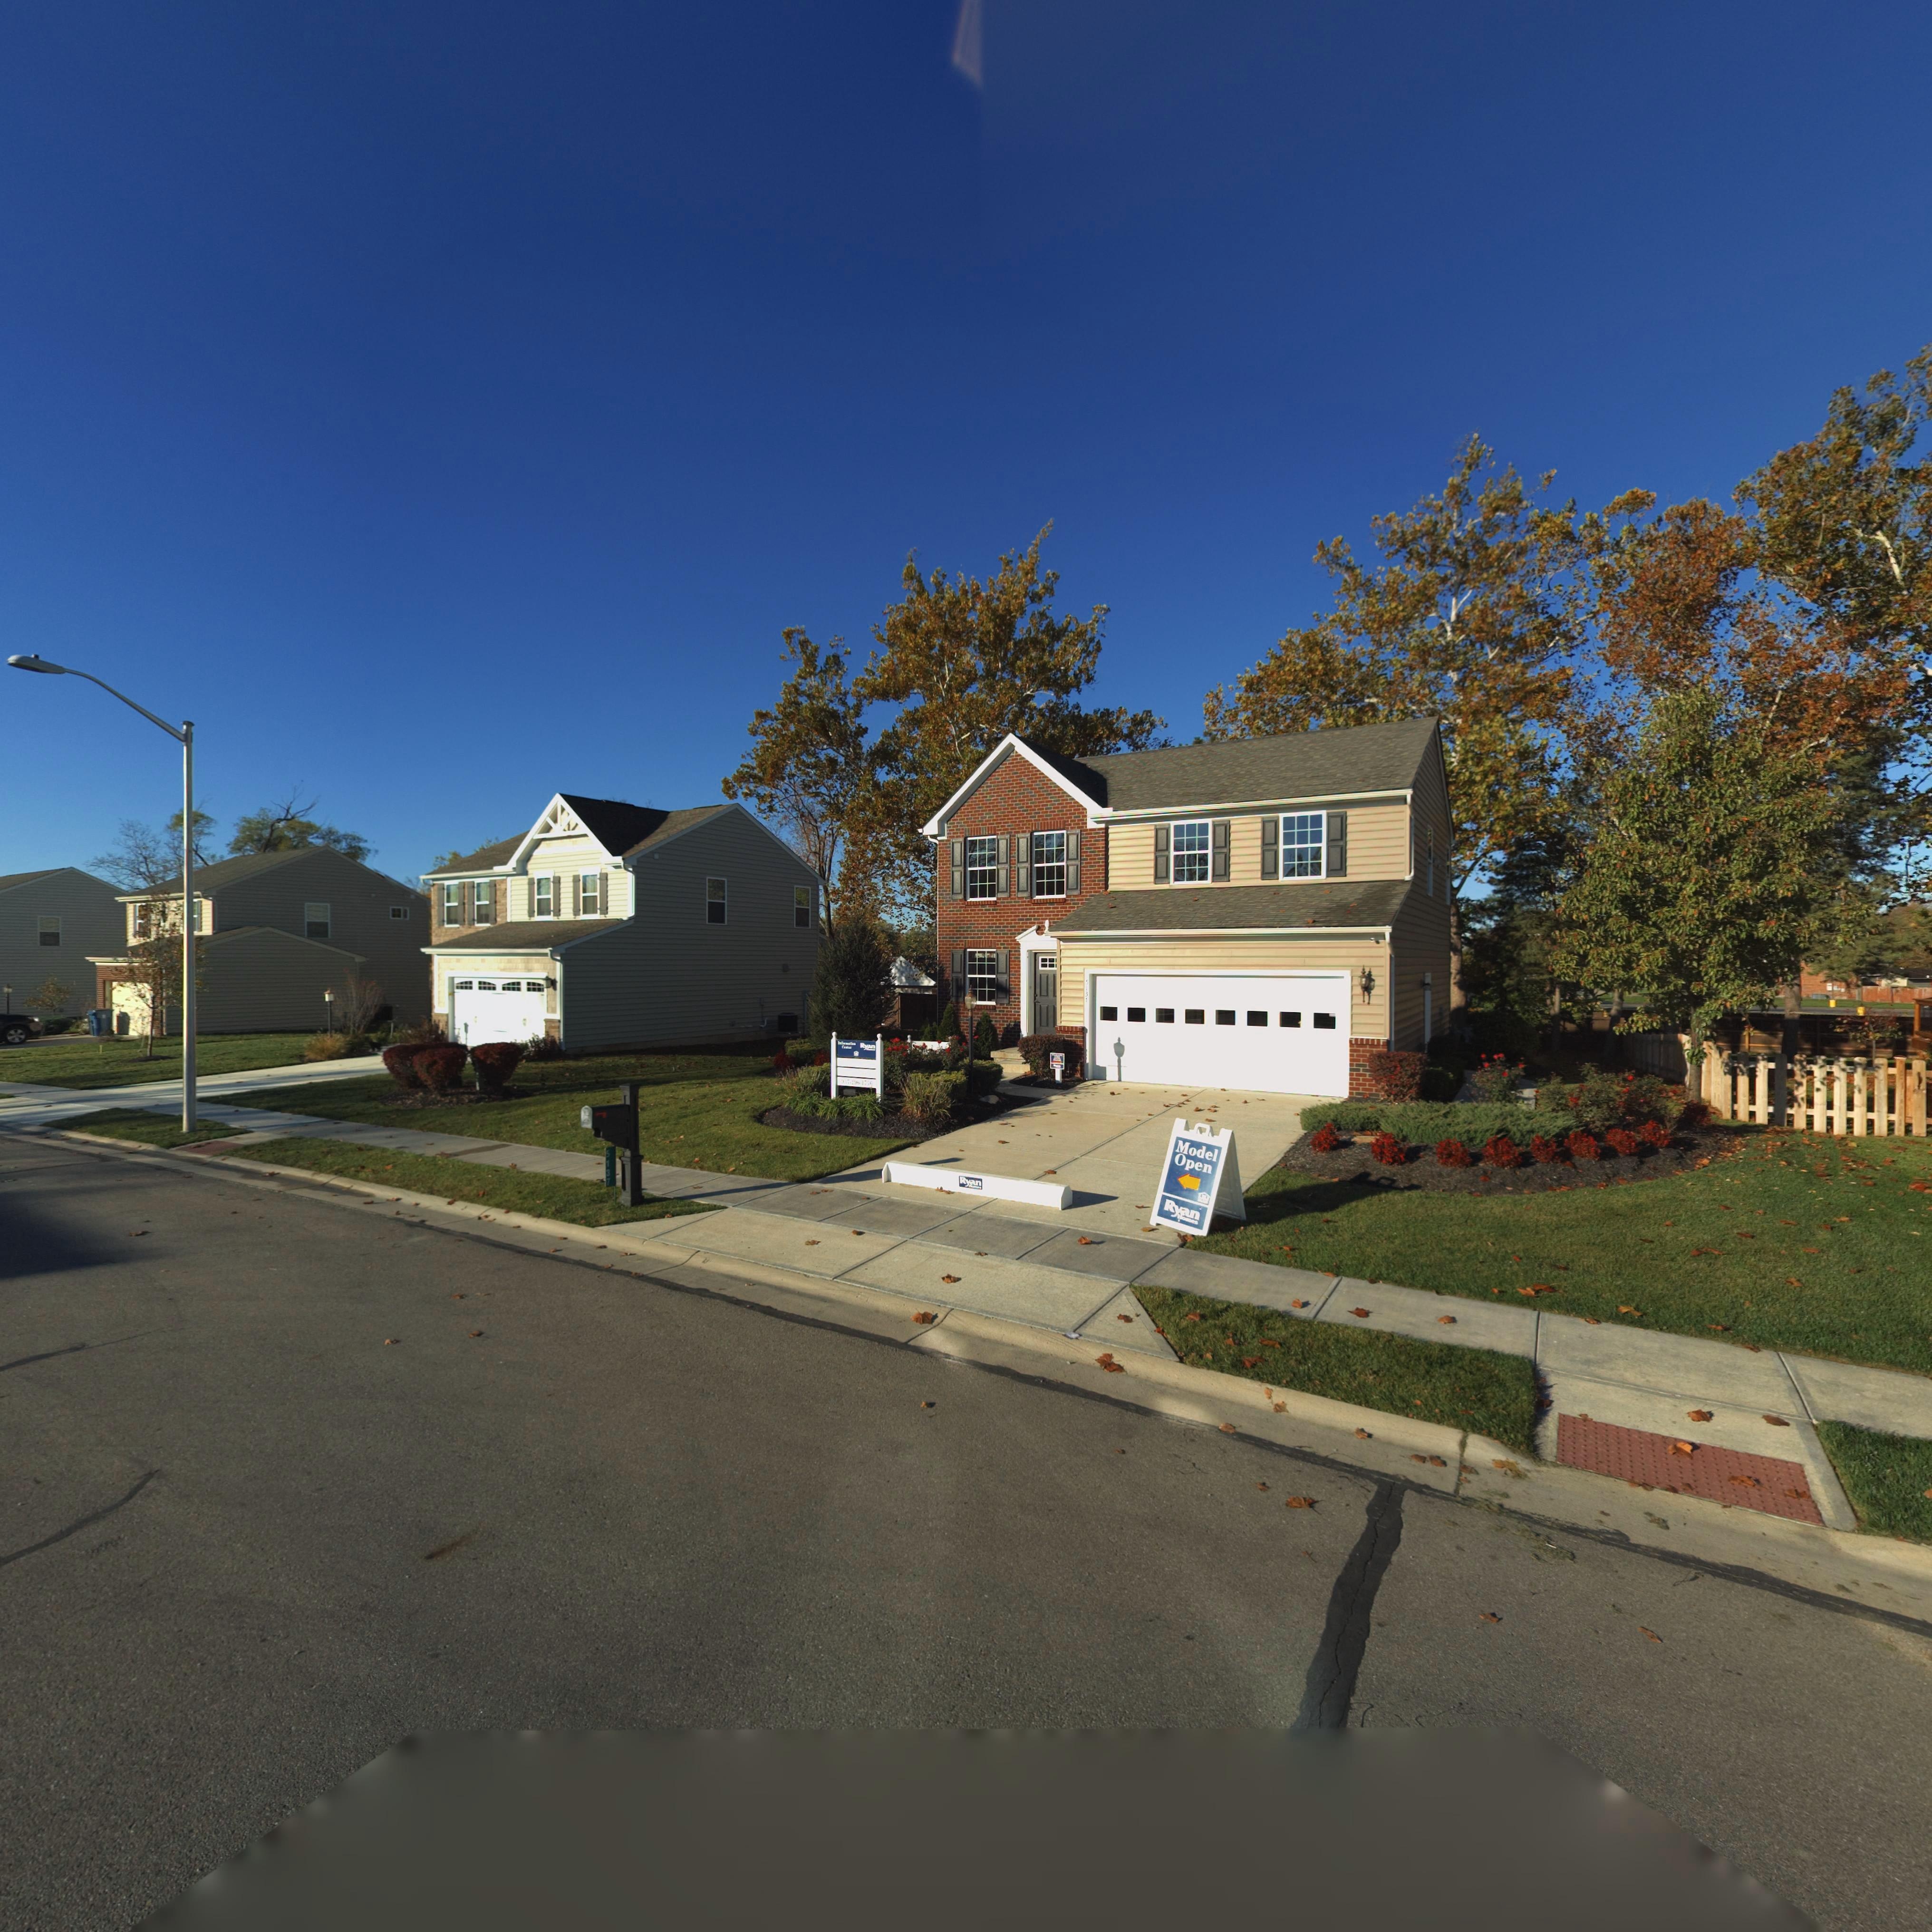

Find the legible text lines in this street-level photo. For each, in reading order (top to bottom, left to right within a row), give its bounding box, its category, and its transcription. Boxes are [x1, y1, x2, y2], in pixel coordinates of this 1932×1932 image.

[1084, 978, 1089, 1003] StreetNumber: **3*
[605, 1149, 612, 1187] StreetNumber: 5137